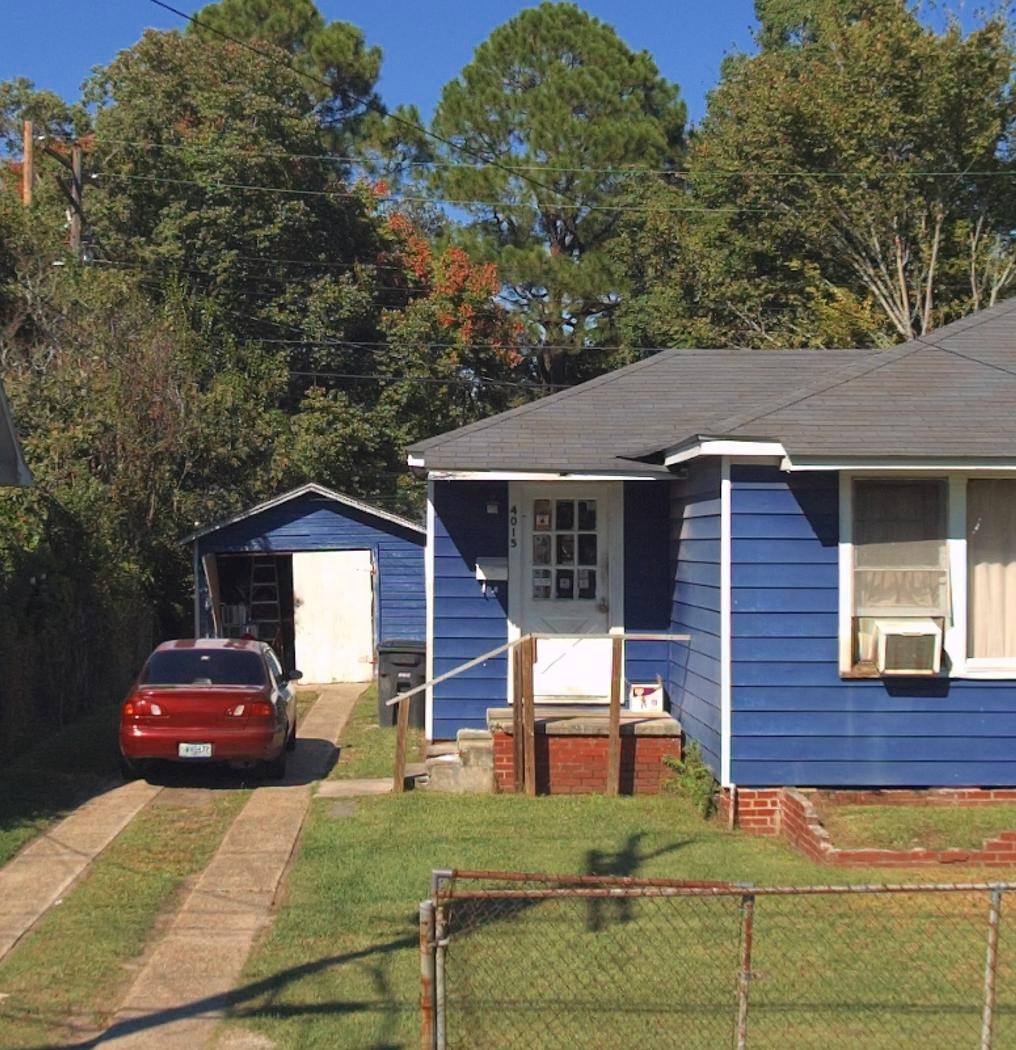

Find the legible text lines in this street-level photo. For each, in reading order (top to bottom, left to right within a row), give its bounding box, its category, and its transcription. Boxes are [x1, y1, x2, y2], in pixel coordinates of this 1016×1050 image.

[509, 502, 518, 550] StreetNumber: 4015